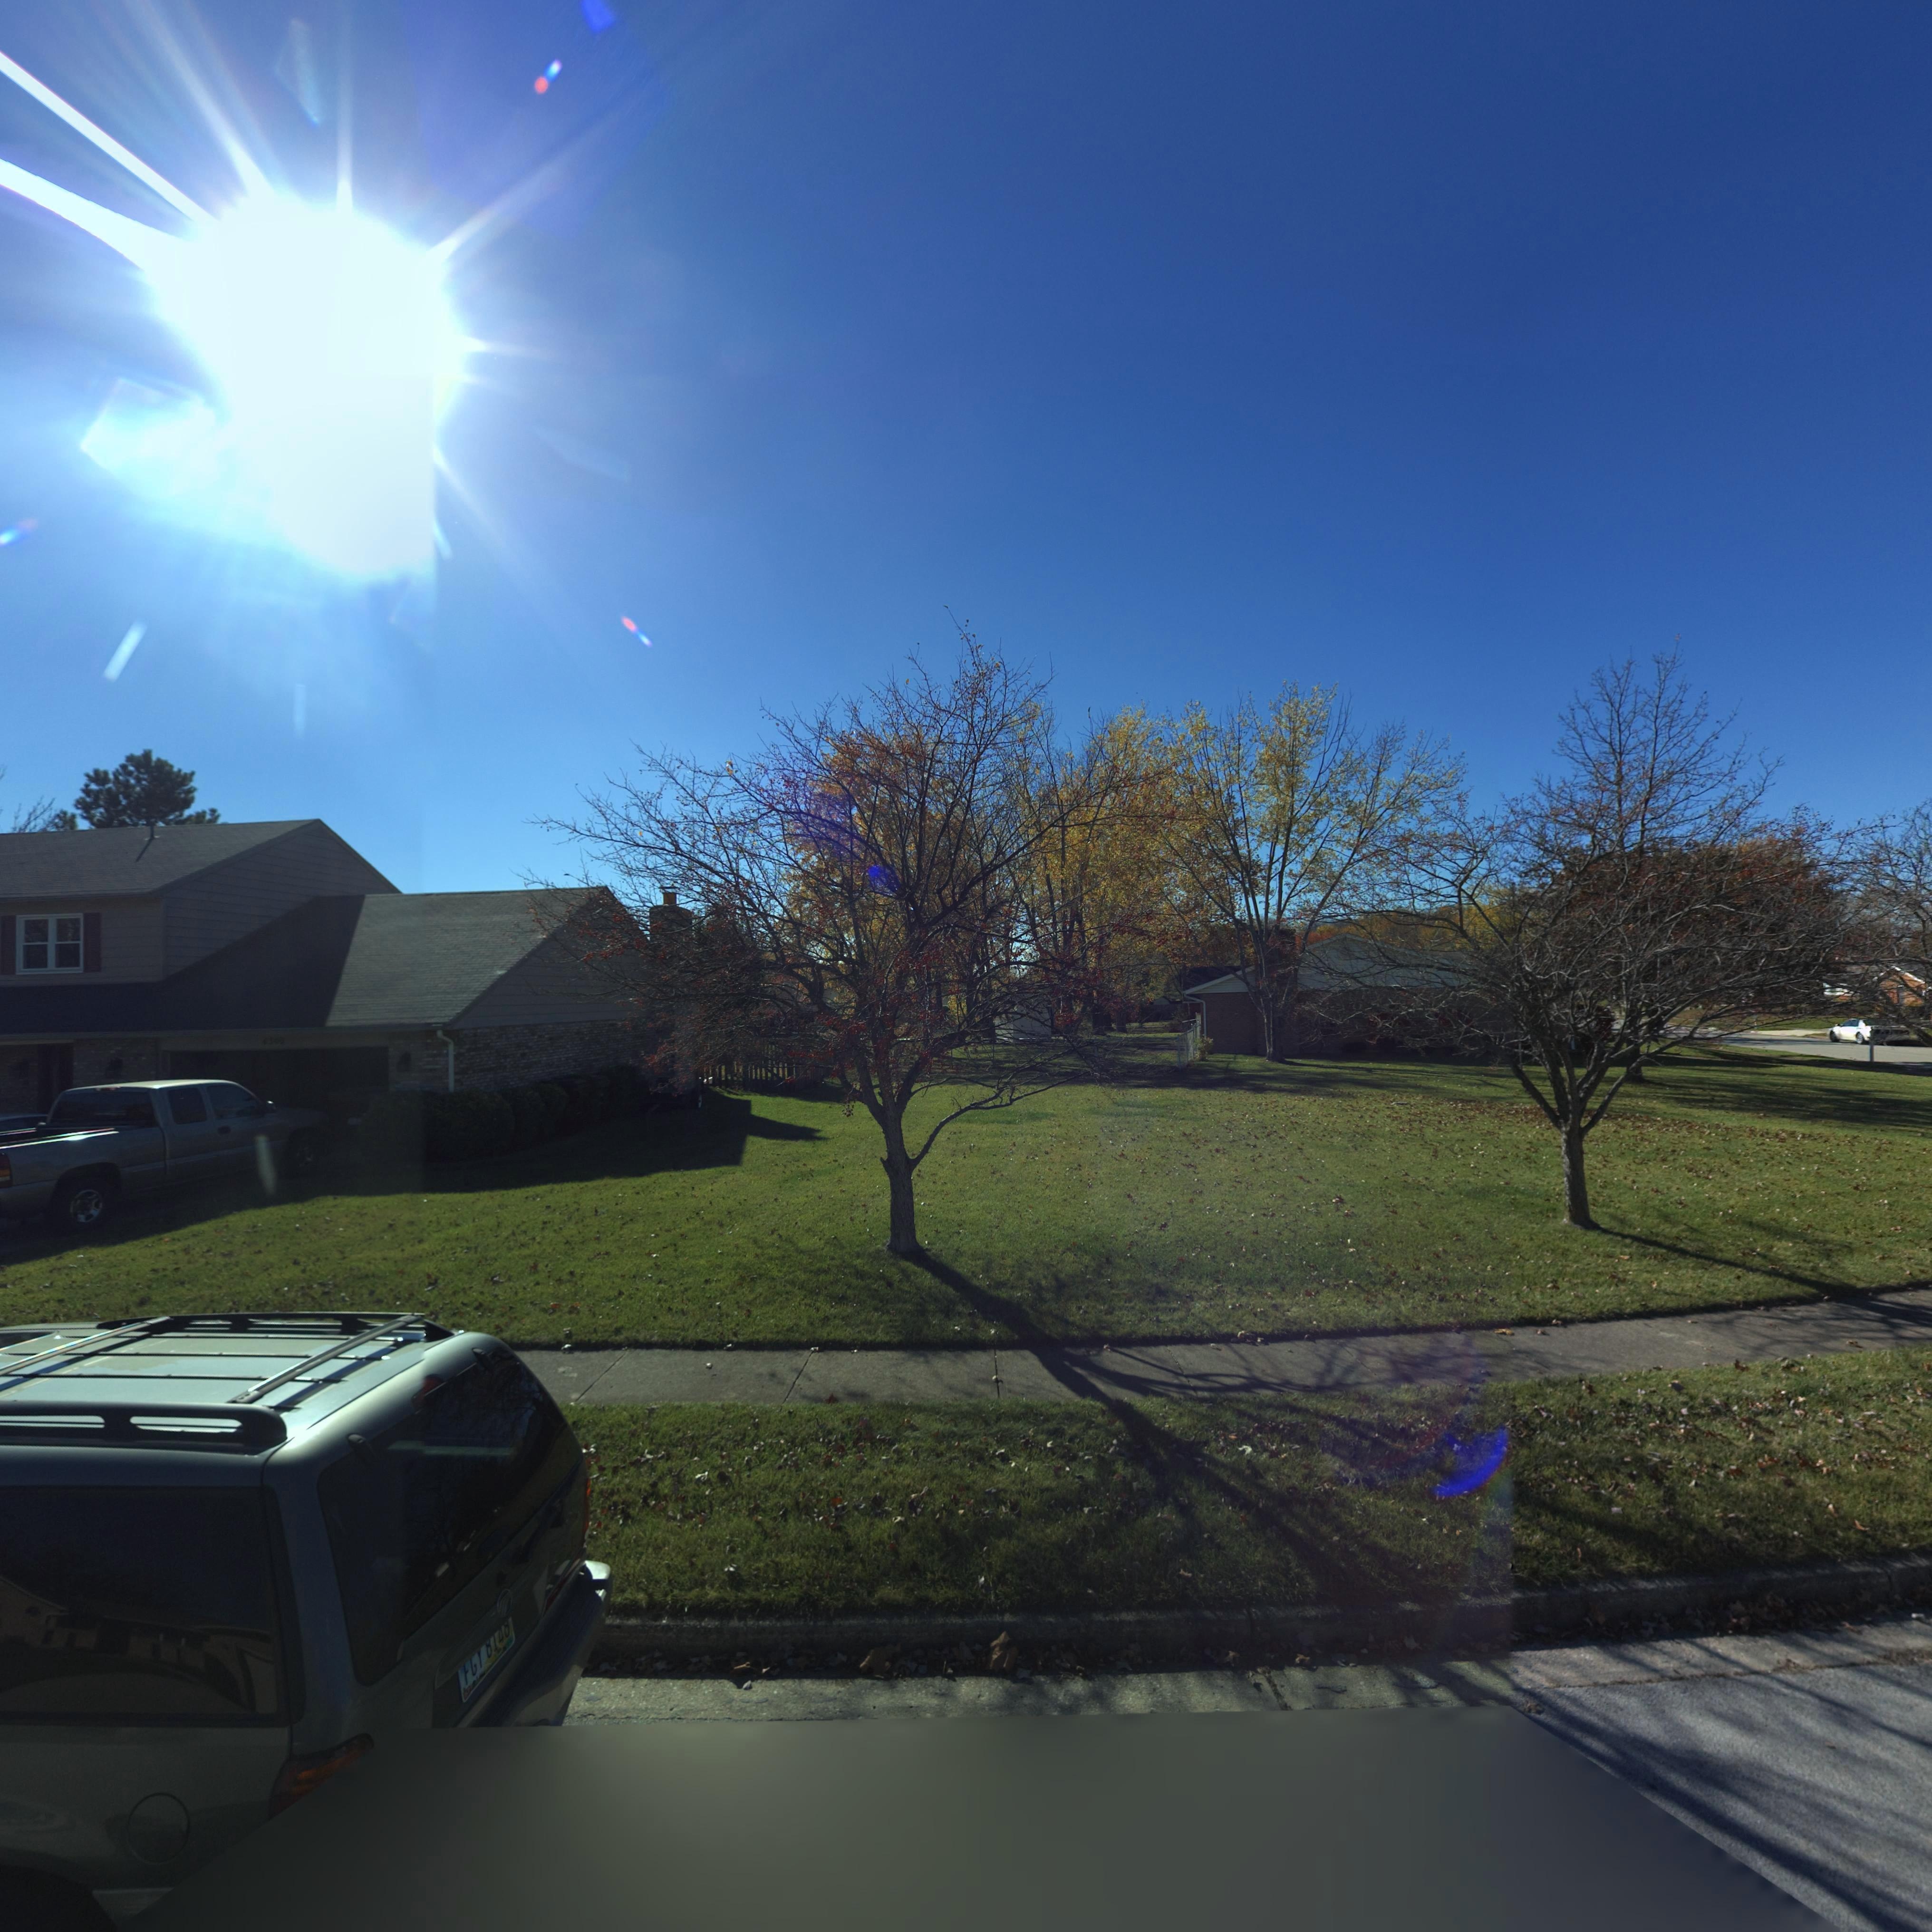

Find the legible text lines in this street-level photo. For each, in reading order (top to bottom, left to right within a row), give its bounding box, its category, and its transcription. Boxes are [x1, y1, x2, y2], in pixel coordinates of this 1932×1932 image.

[261, 1036, 286, 1045] StreetNumber: 4300